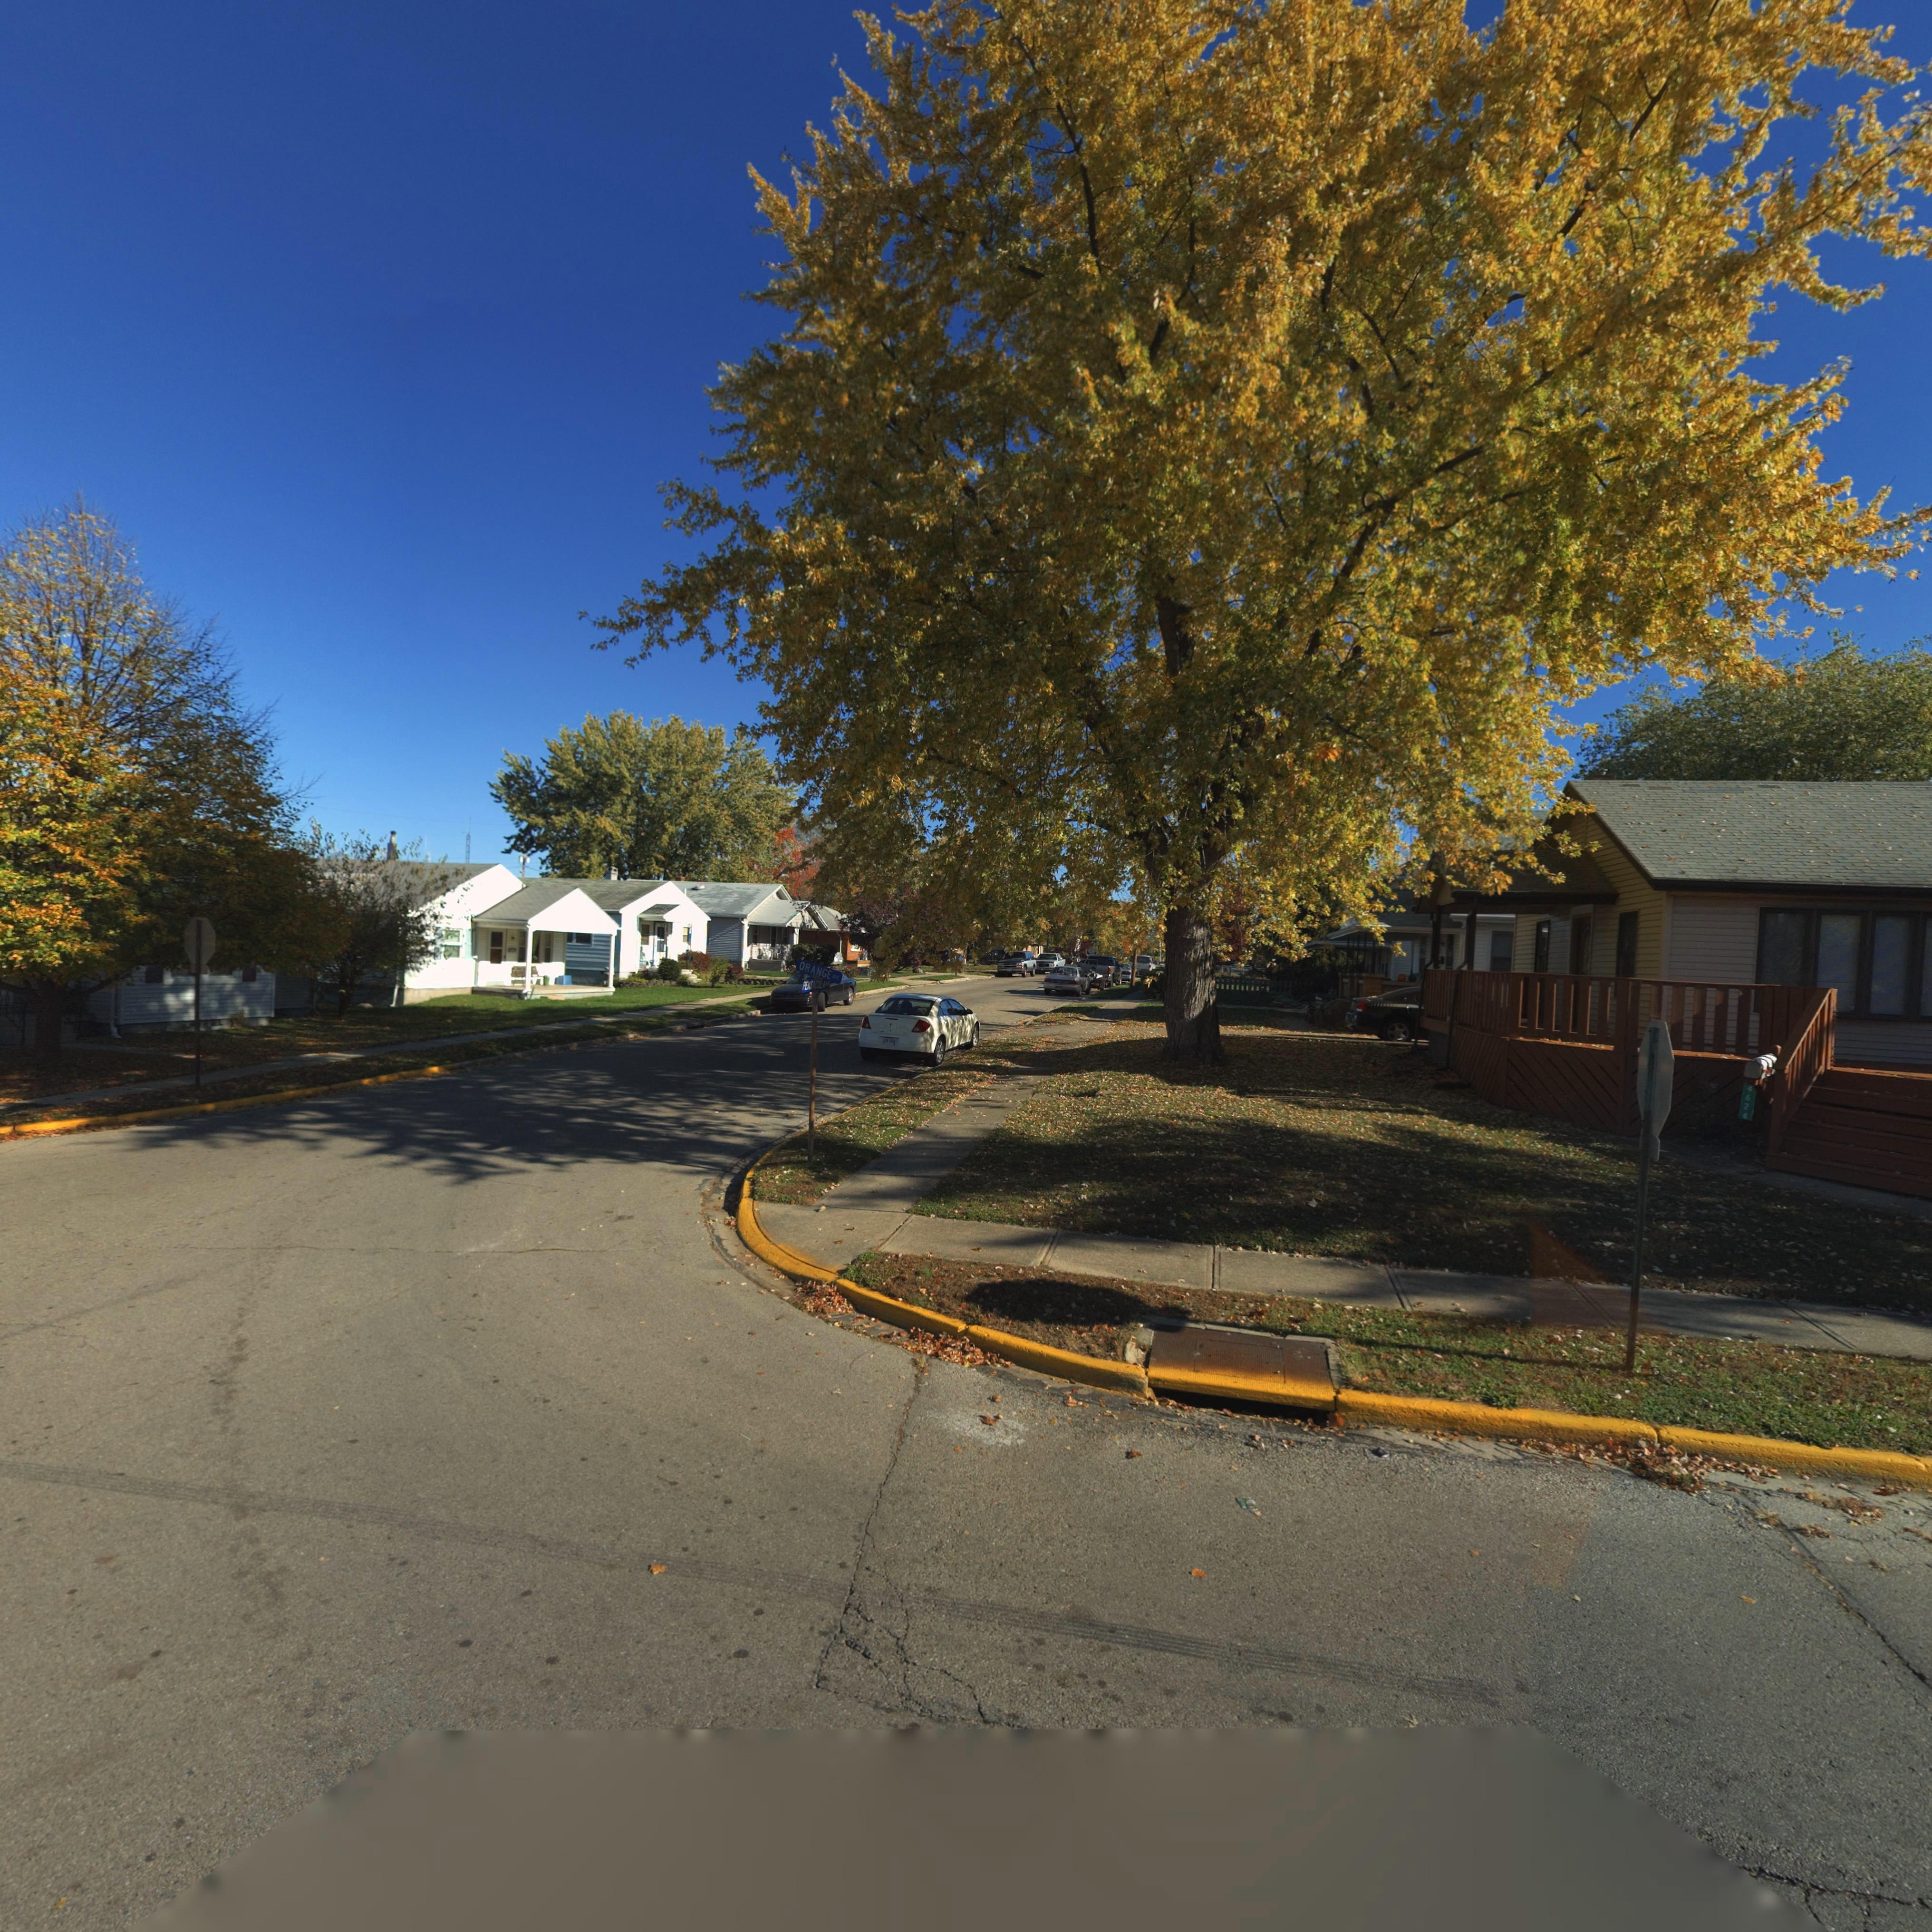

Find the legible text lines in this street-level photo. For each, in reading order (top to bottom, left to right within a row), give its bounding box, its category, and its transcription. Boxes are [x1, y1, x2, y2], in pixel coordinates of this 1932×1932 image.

[1741, 1084, 1753, 1121] StreetNumber: 4624